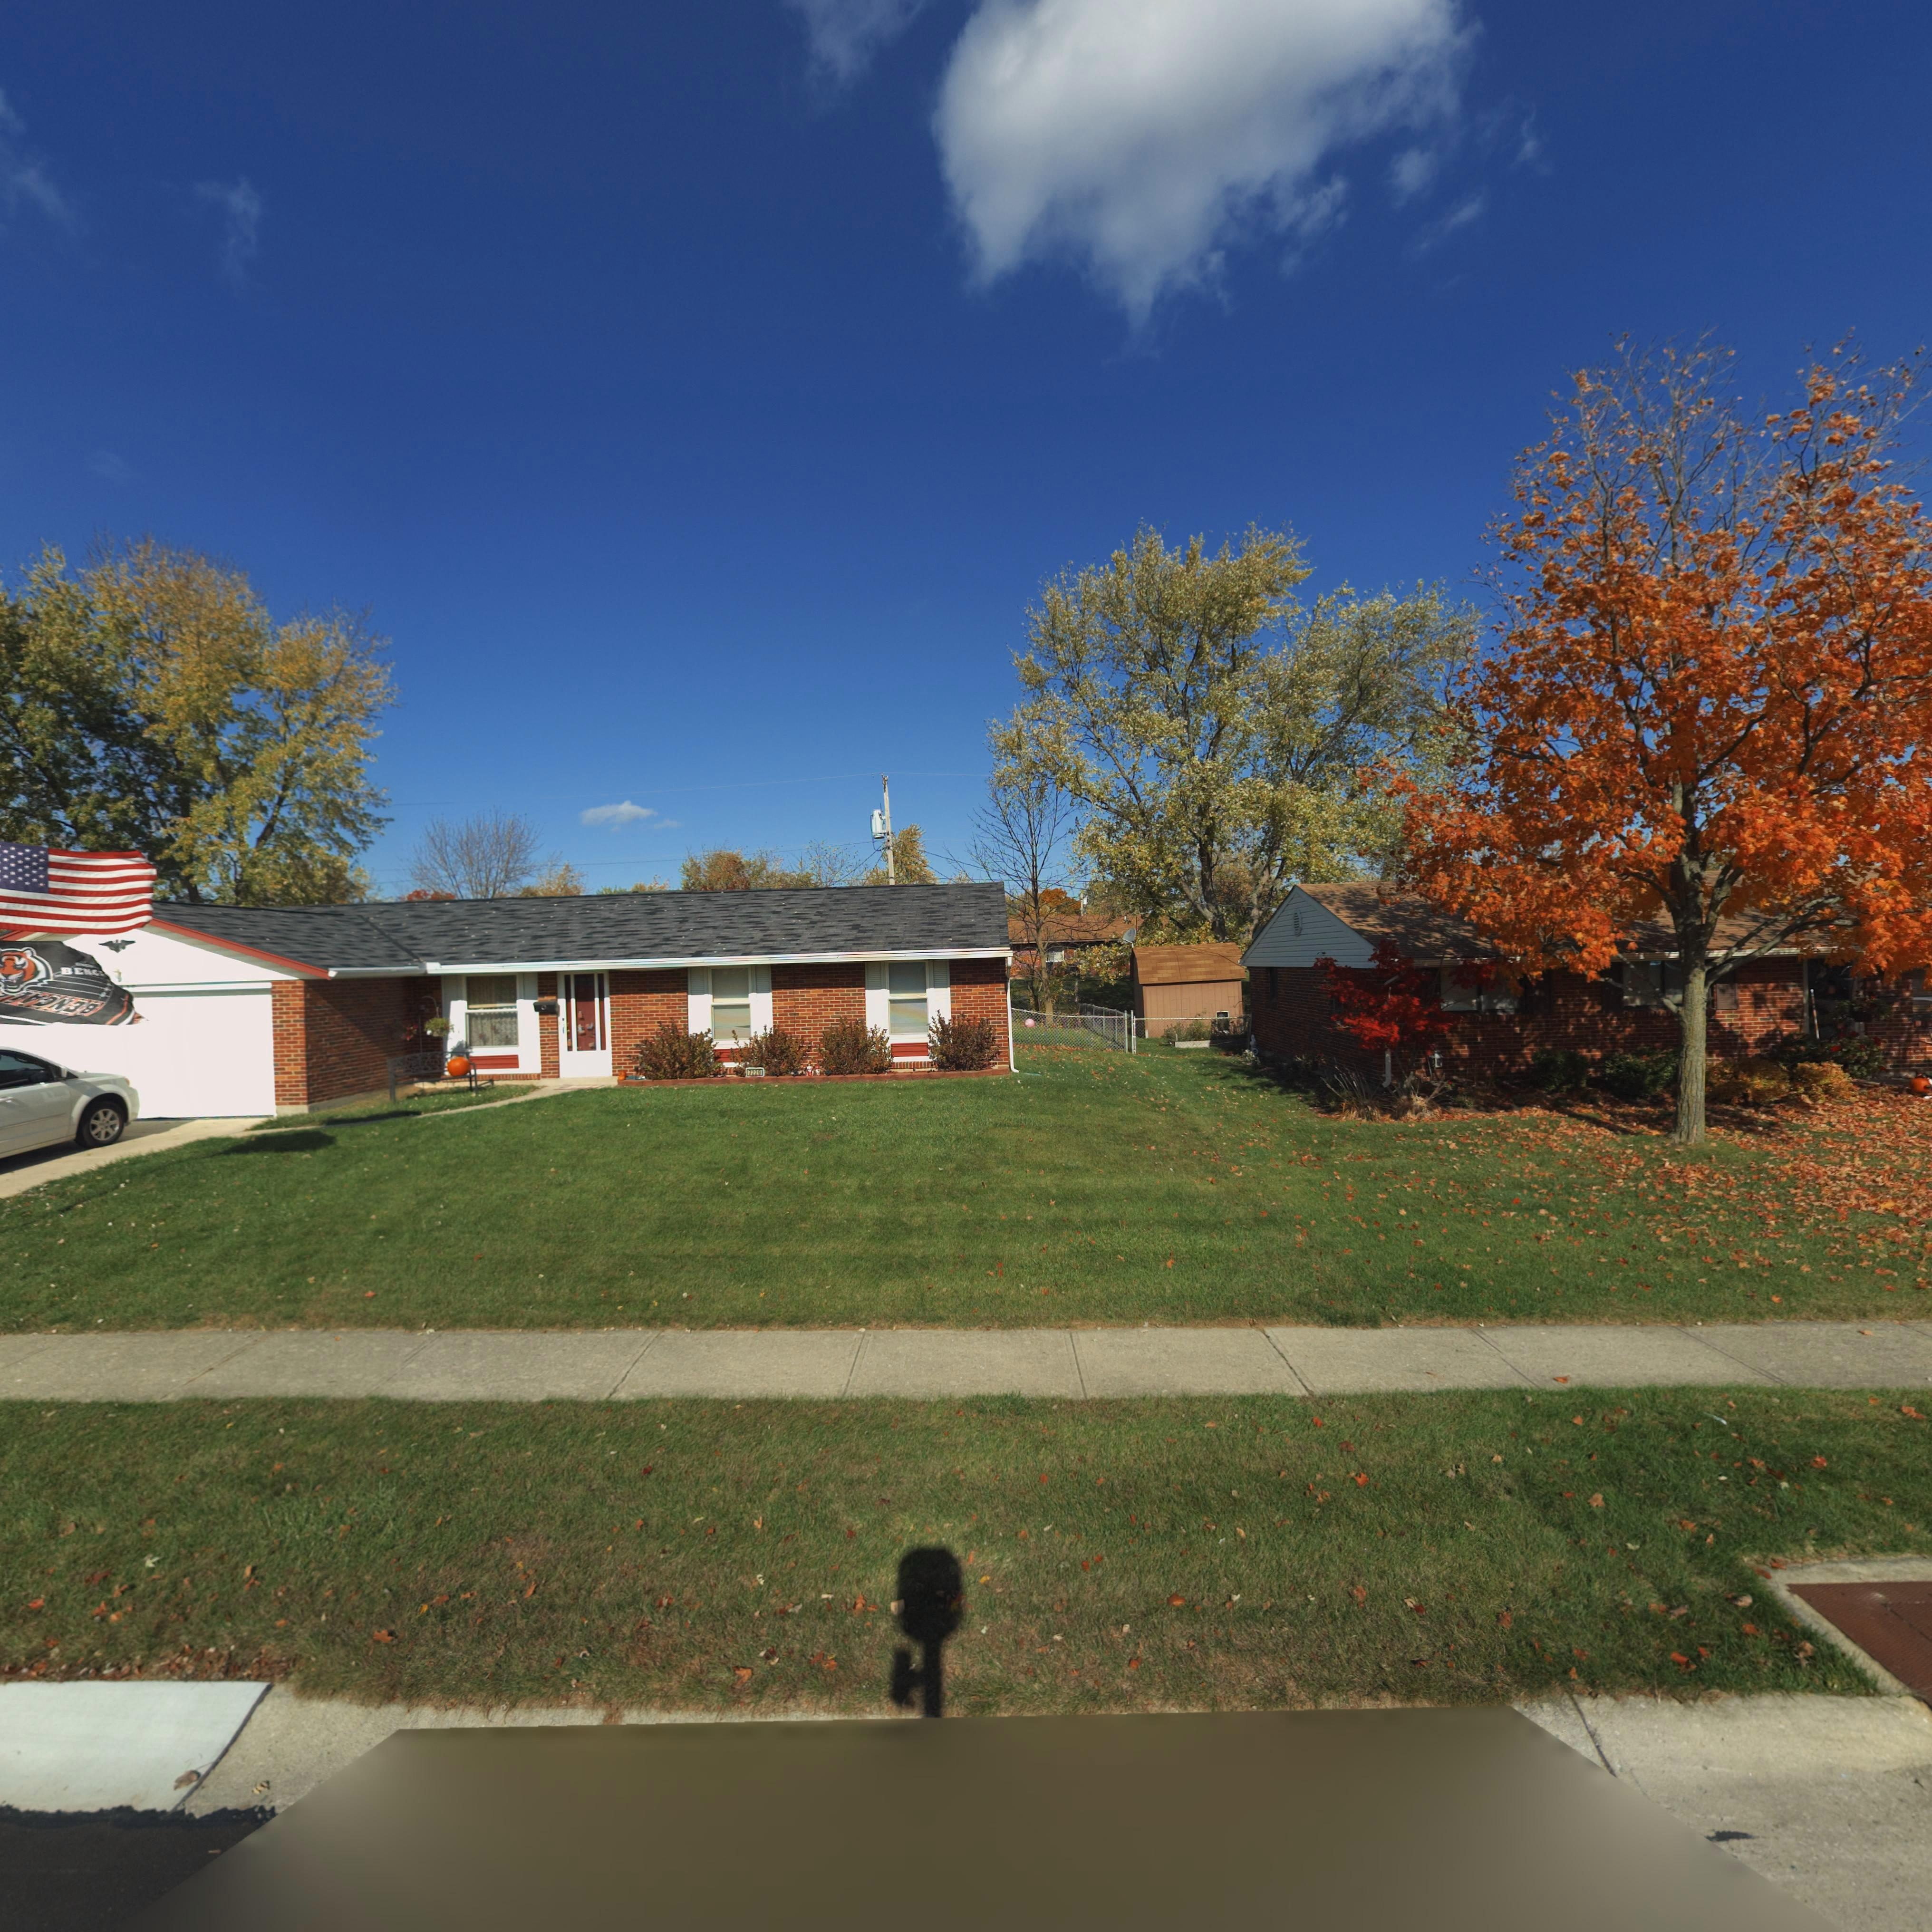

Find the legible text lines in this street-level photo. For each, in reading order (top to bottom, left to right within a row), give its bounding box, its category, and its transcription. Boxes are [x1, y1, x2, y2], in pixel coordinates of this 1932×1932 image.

[748, 1069, 762, 1076] StreetNumber: 7220